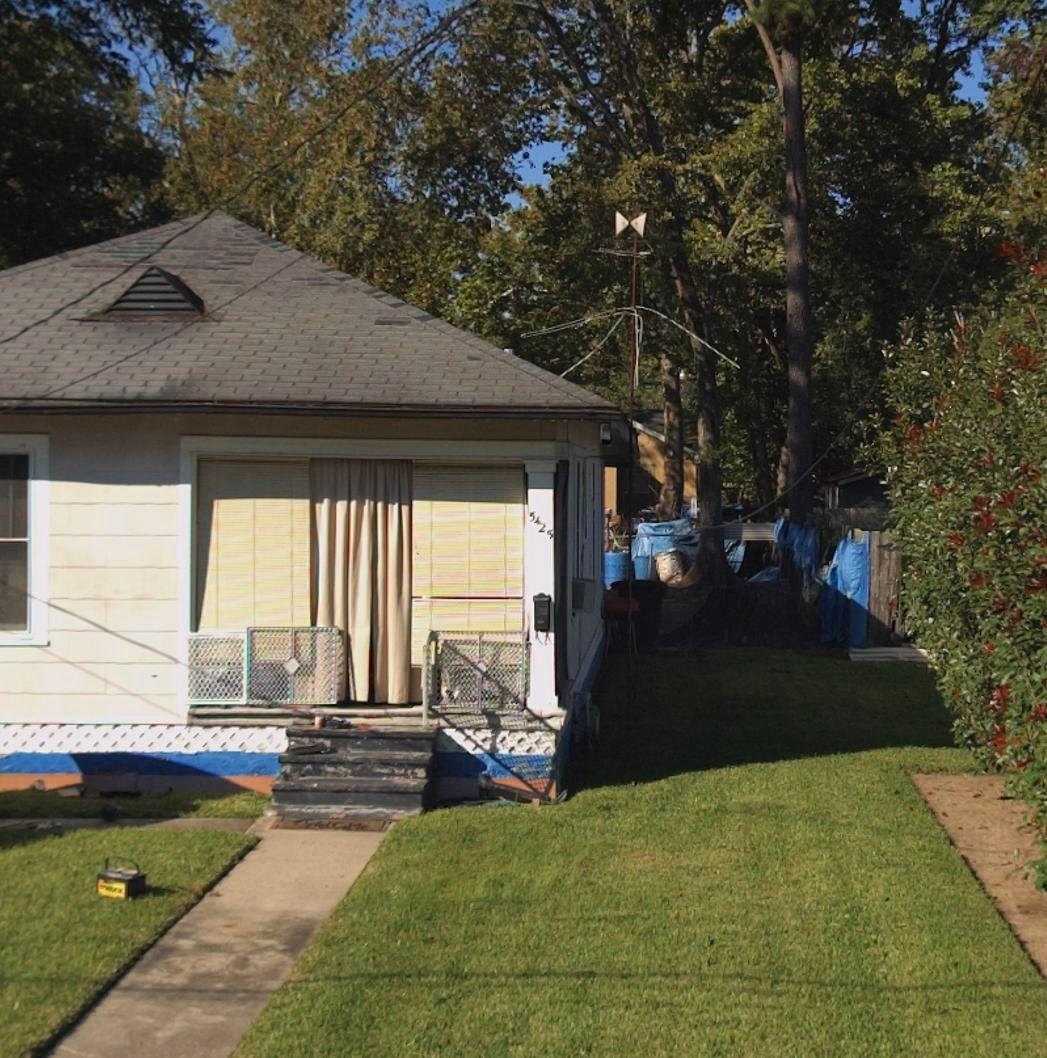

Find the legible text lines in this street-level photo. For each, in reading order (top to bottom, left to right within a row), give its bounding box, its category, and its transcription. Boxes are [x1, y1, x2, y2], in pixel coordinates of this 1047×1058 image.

[528, 509, 555, 541] StreetNumber: 5425